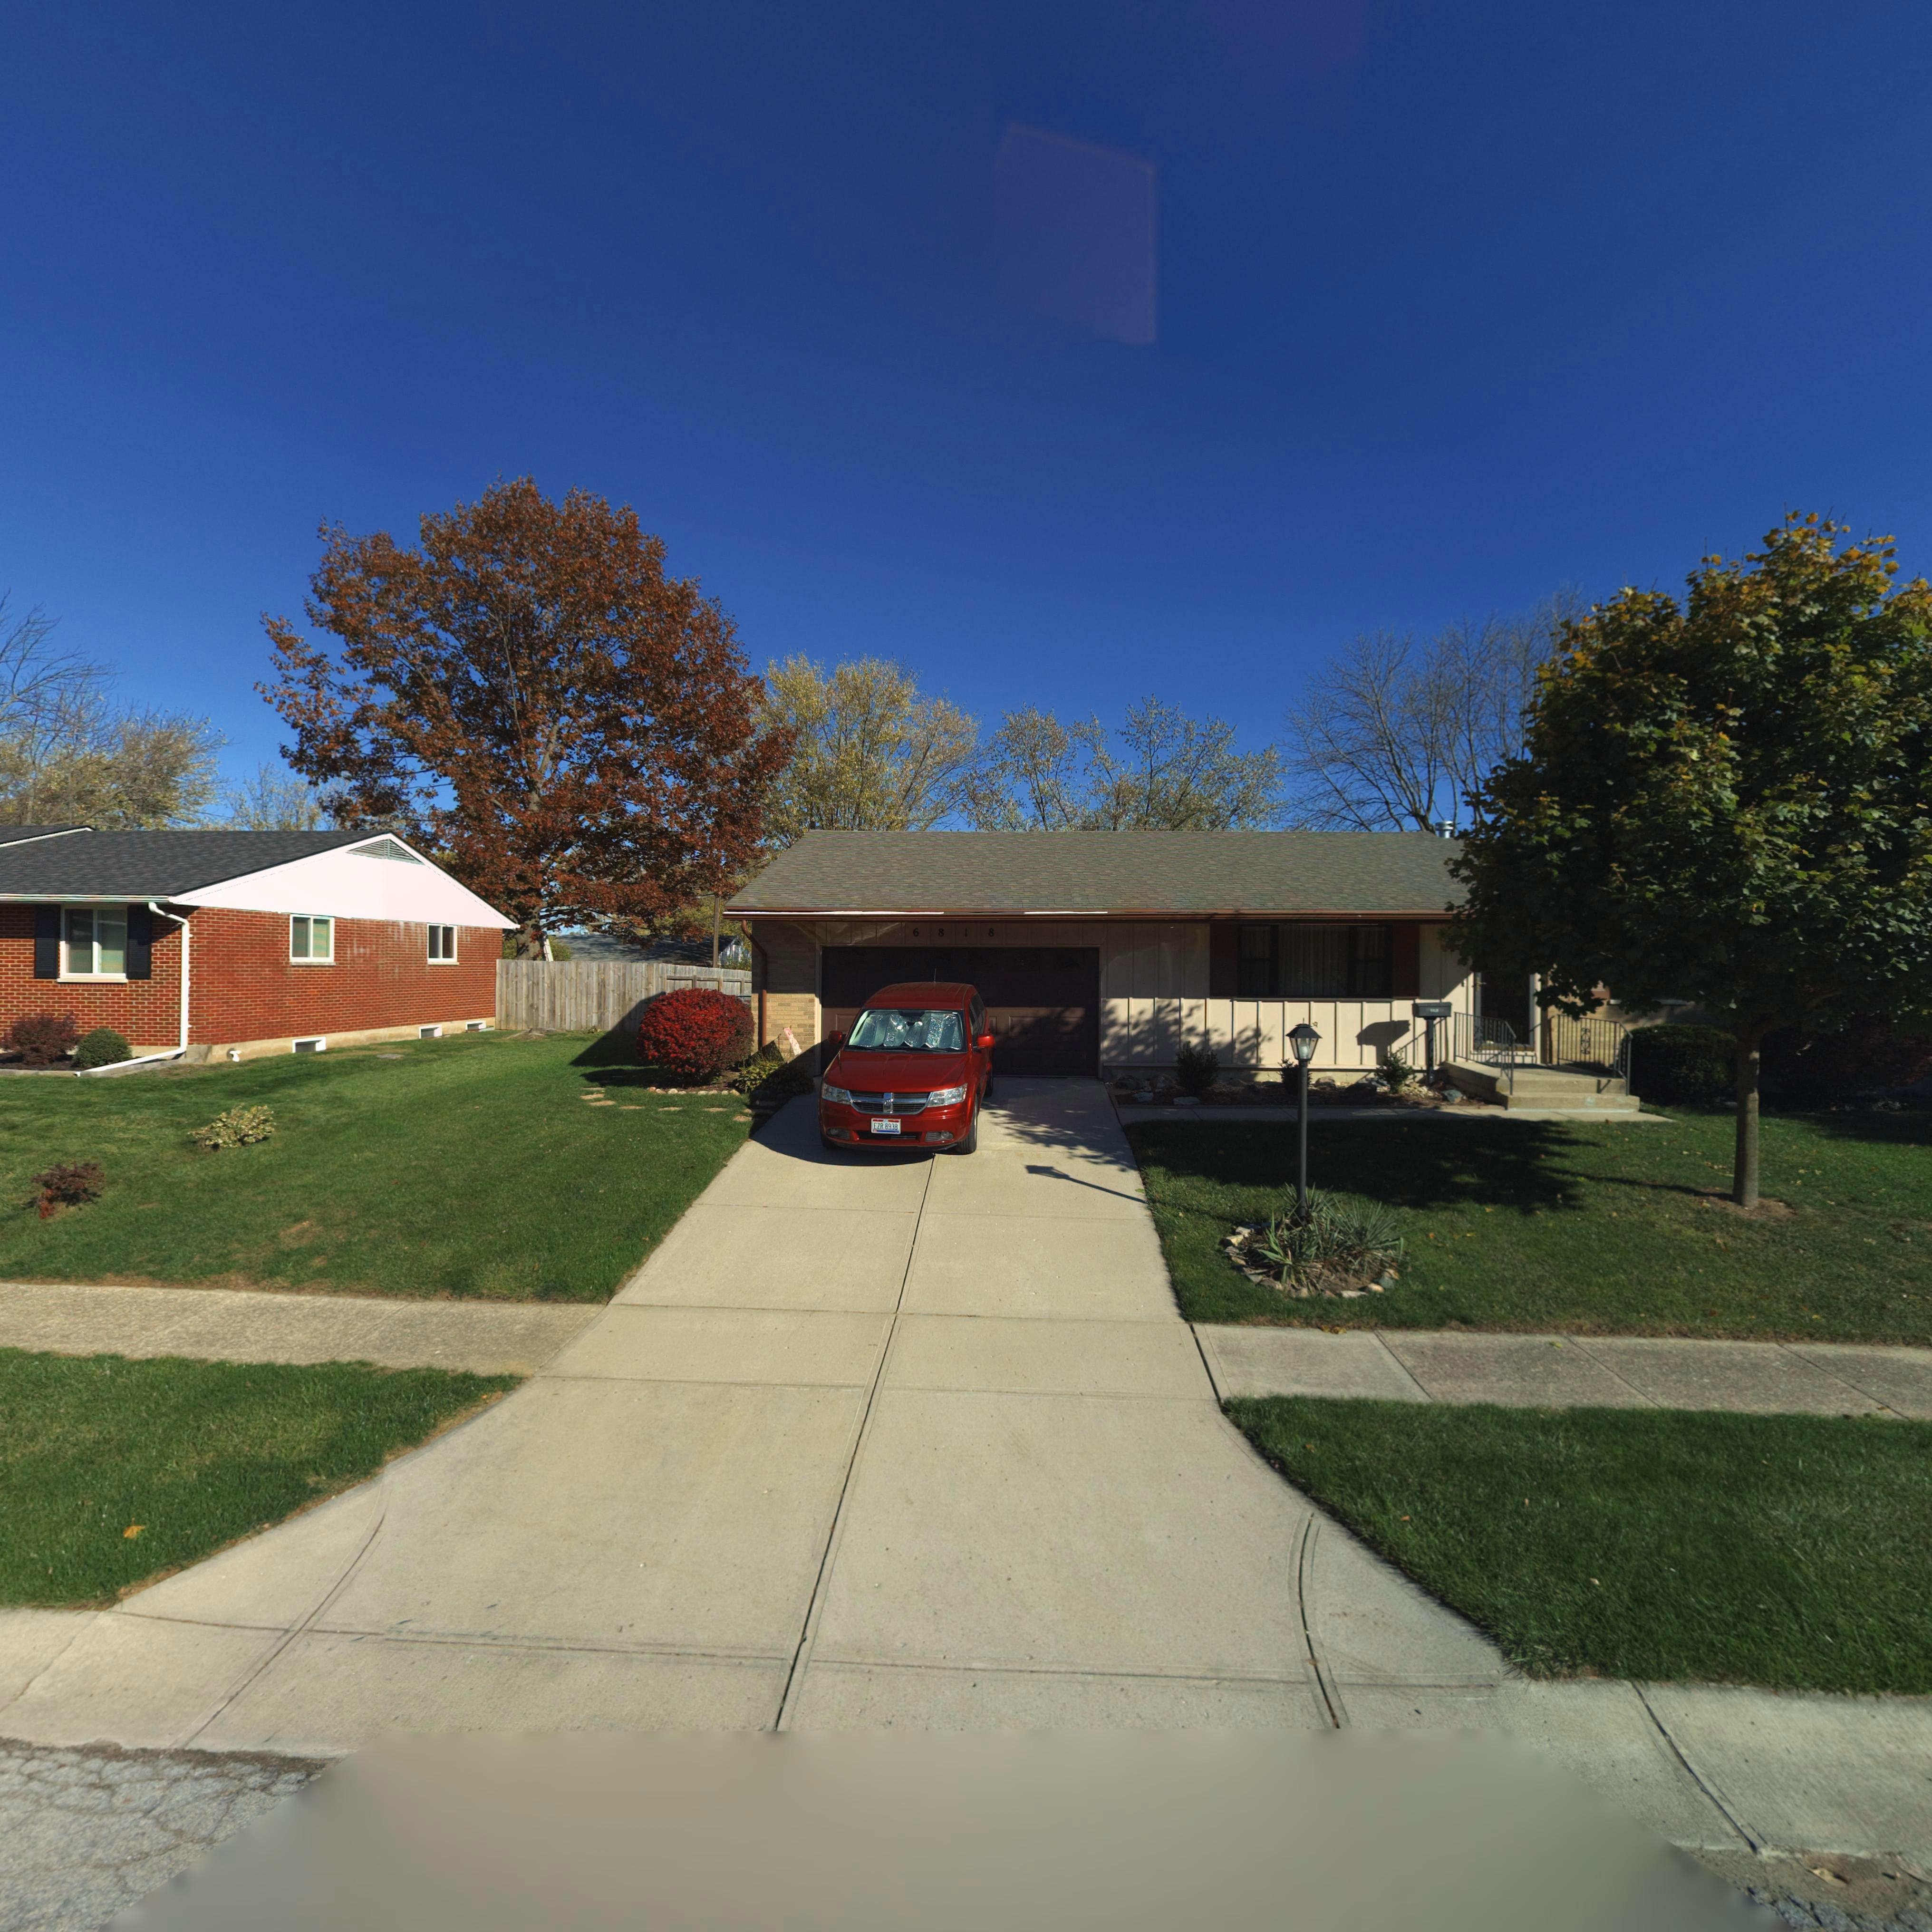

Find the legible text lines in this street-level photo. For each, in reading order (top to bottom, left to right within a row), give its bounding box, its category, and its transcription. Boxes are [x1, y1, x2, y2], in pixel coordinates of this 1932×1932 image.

[912, 927, 994, 937] StreetNumber: 6818